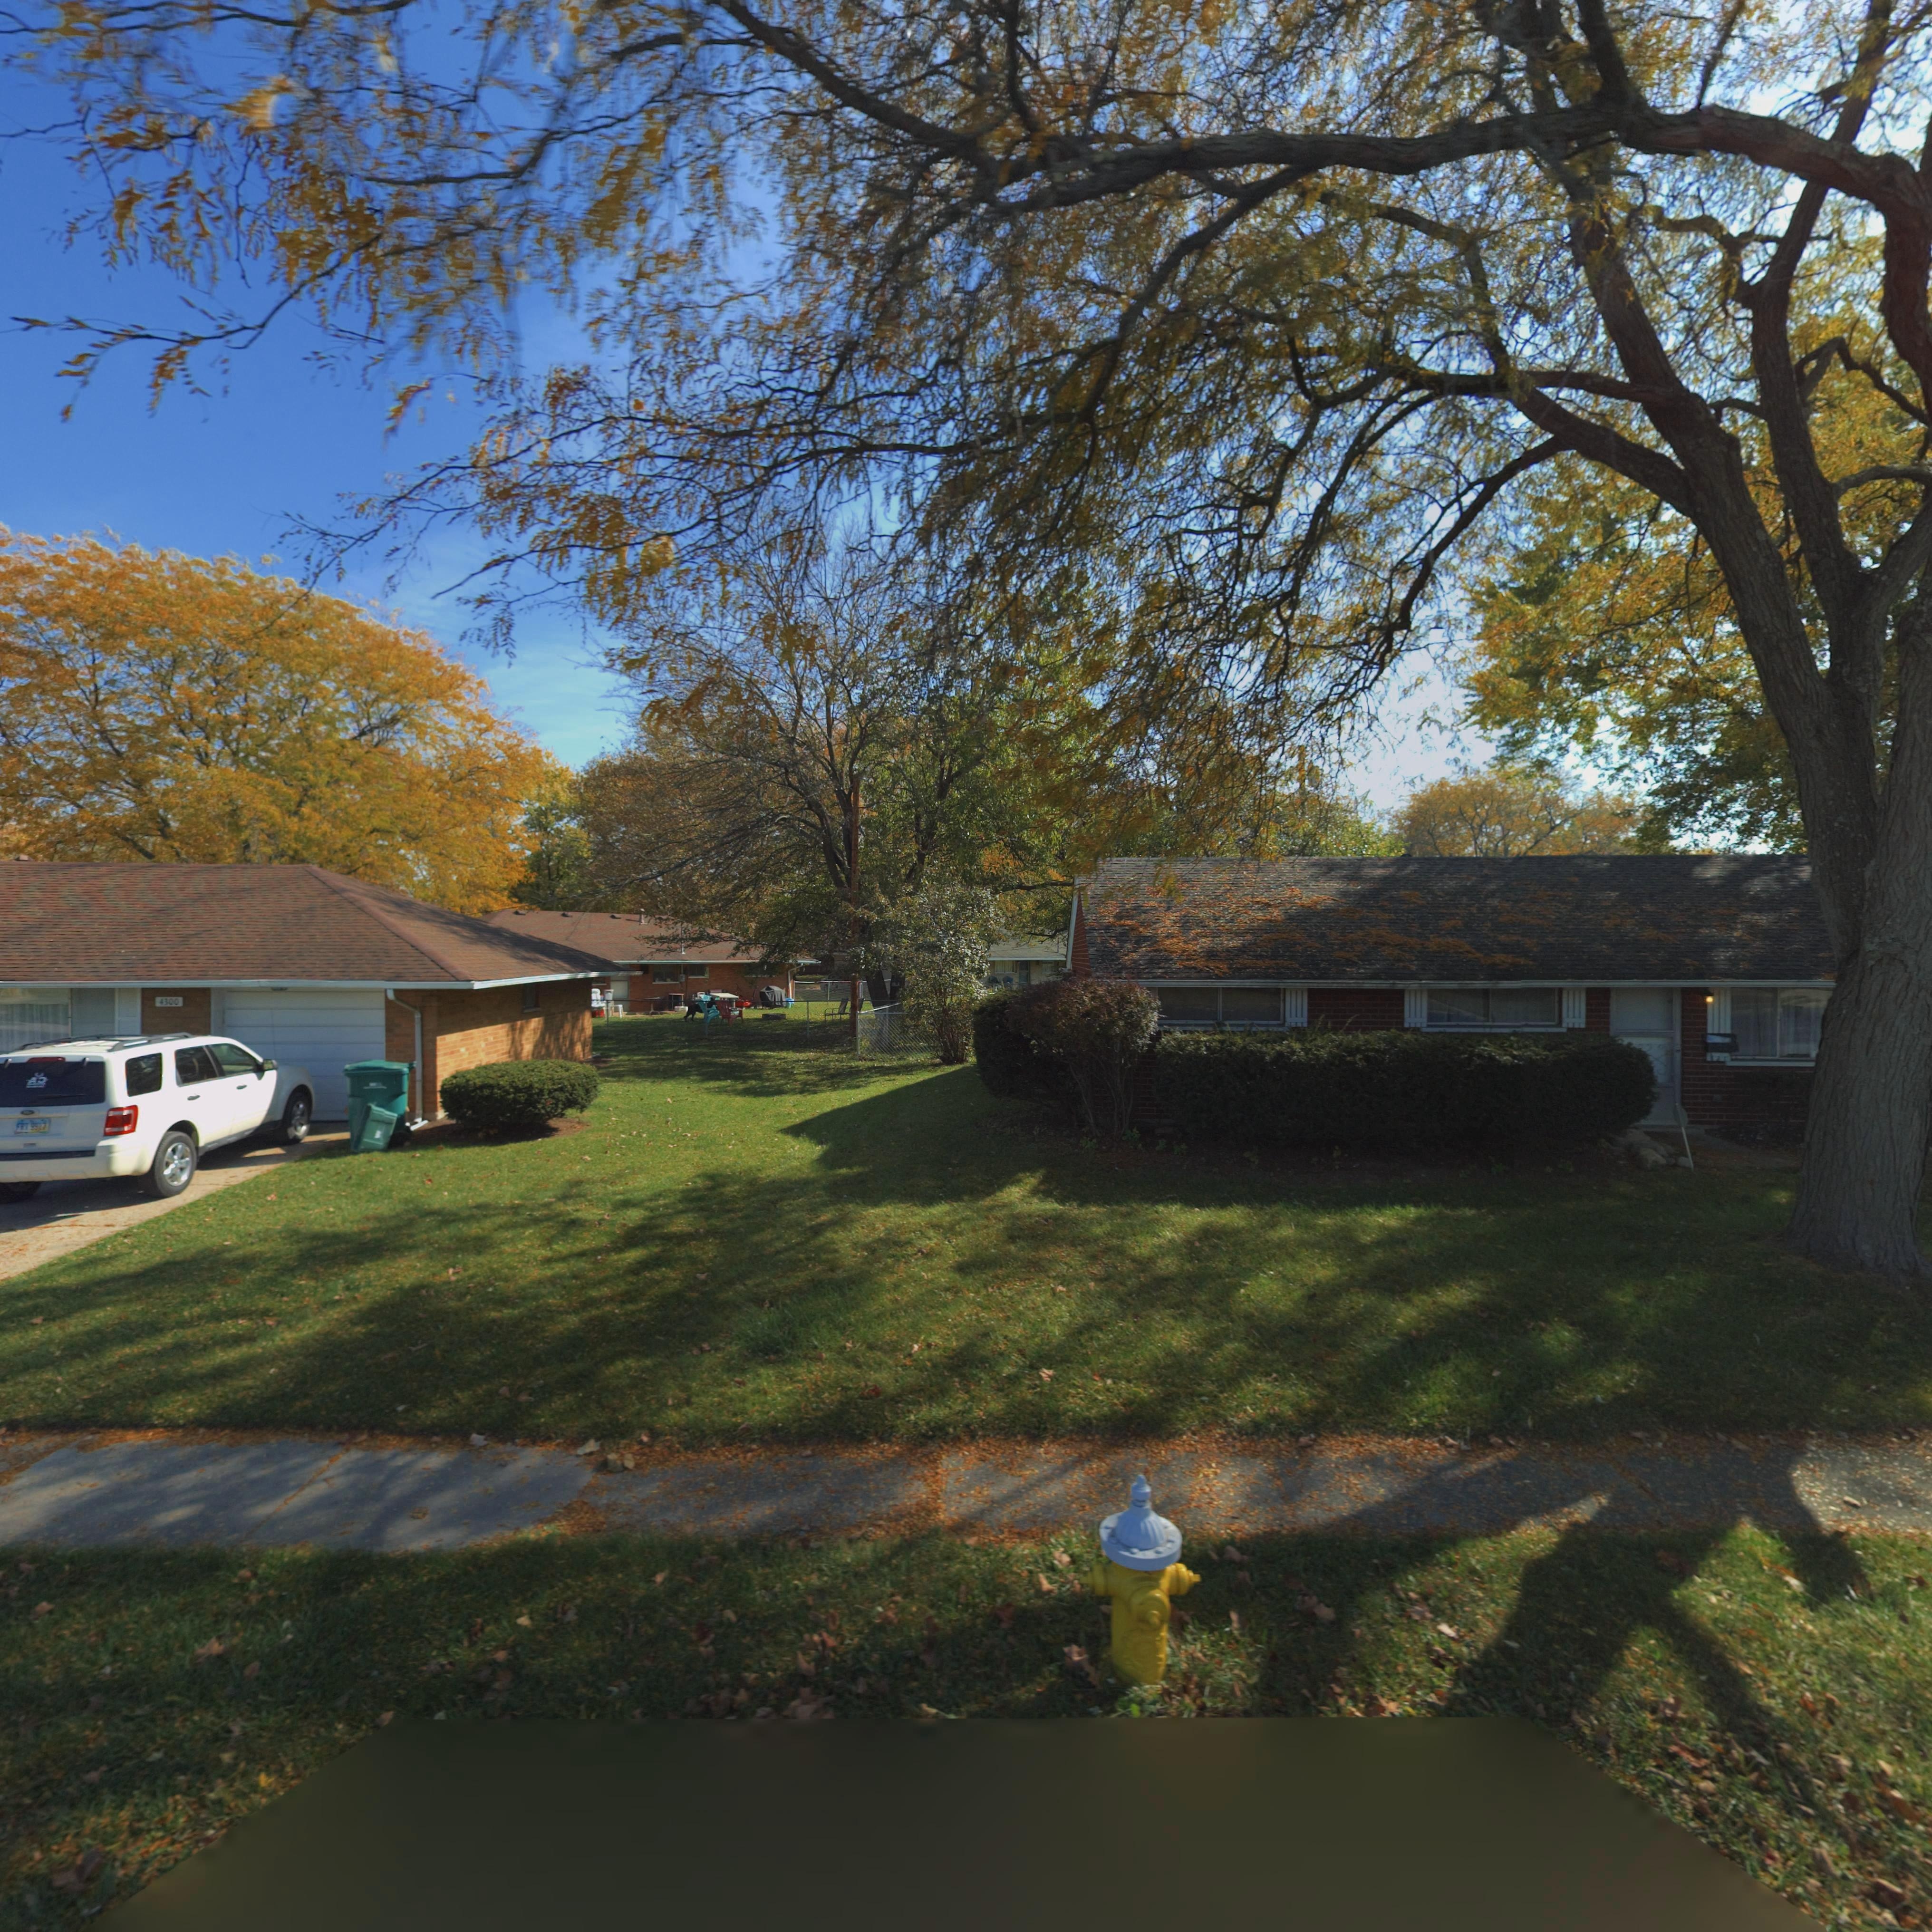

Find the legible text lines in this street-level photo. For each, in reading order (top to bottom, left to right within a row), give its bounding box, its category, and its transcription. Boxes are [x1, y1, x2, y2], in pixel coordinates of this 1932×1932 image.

[157, 997, 180, 1007] StreetNumber: 4300